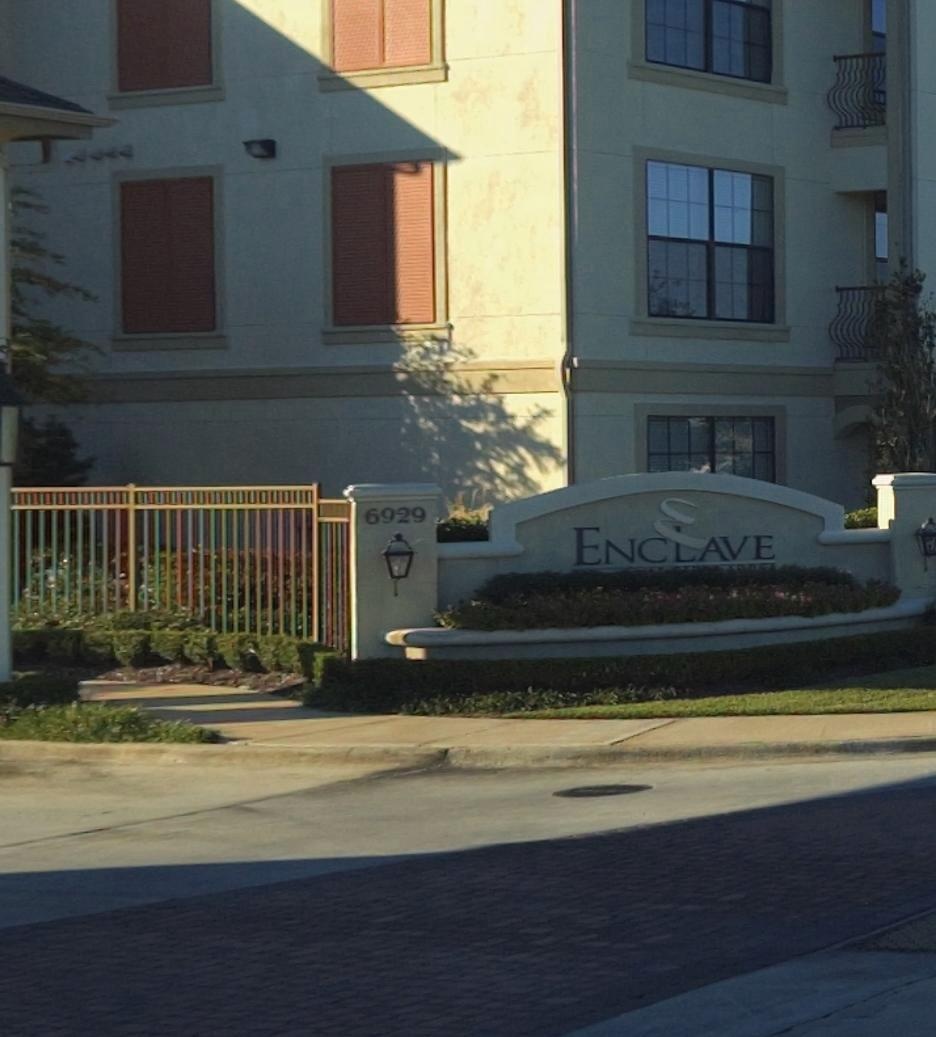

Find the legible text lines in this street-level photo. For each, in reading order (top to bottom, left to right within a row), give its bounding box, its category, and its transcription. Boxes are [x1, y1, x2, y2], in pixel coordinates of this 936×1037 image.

[362, 506, 427, 525] StreetNumber: 6929
[569, 524, 778, 567] BusinessName: ENCLAVE